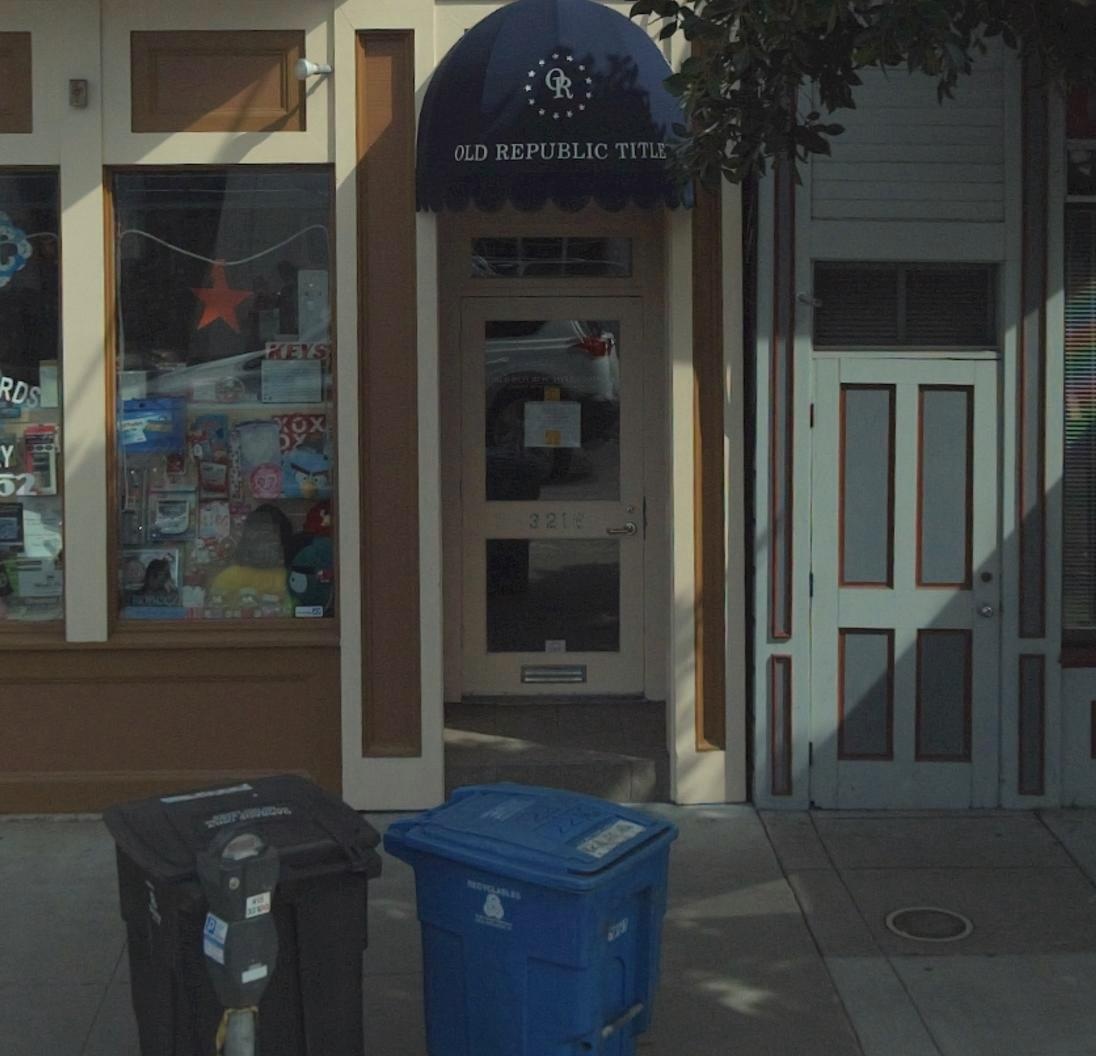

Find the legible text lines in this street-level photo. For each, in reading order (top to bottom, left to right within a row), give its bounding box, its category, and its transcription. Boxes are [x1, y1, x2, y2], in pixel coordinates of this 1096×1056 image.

[452, 139, 671, 164] None: OLD REPUBLIC TITLE
[267, 341, 329, 361] None: KEYS
[8, 377, 46, 413] None: DS
[289, 414, 328, 435] None: OX
[0, 442, 17, 470] None: Y
[13, 471, 41, 499] None: 2
[527, 509, 588, 533] StreetNumber: 321*